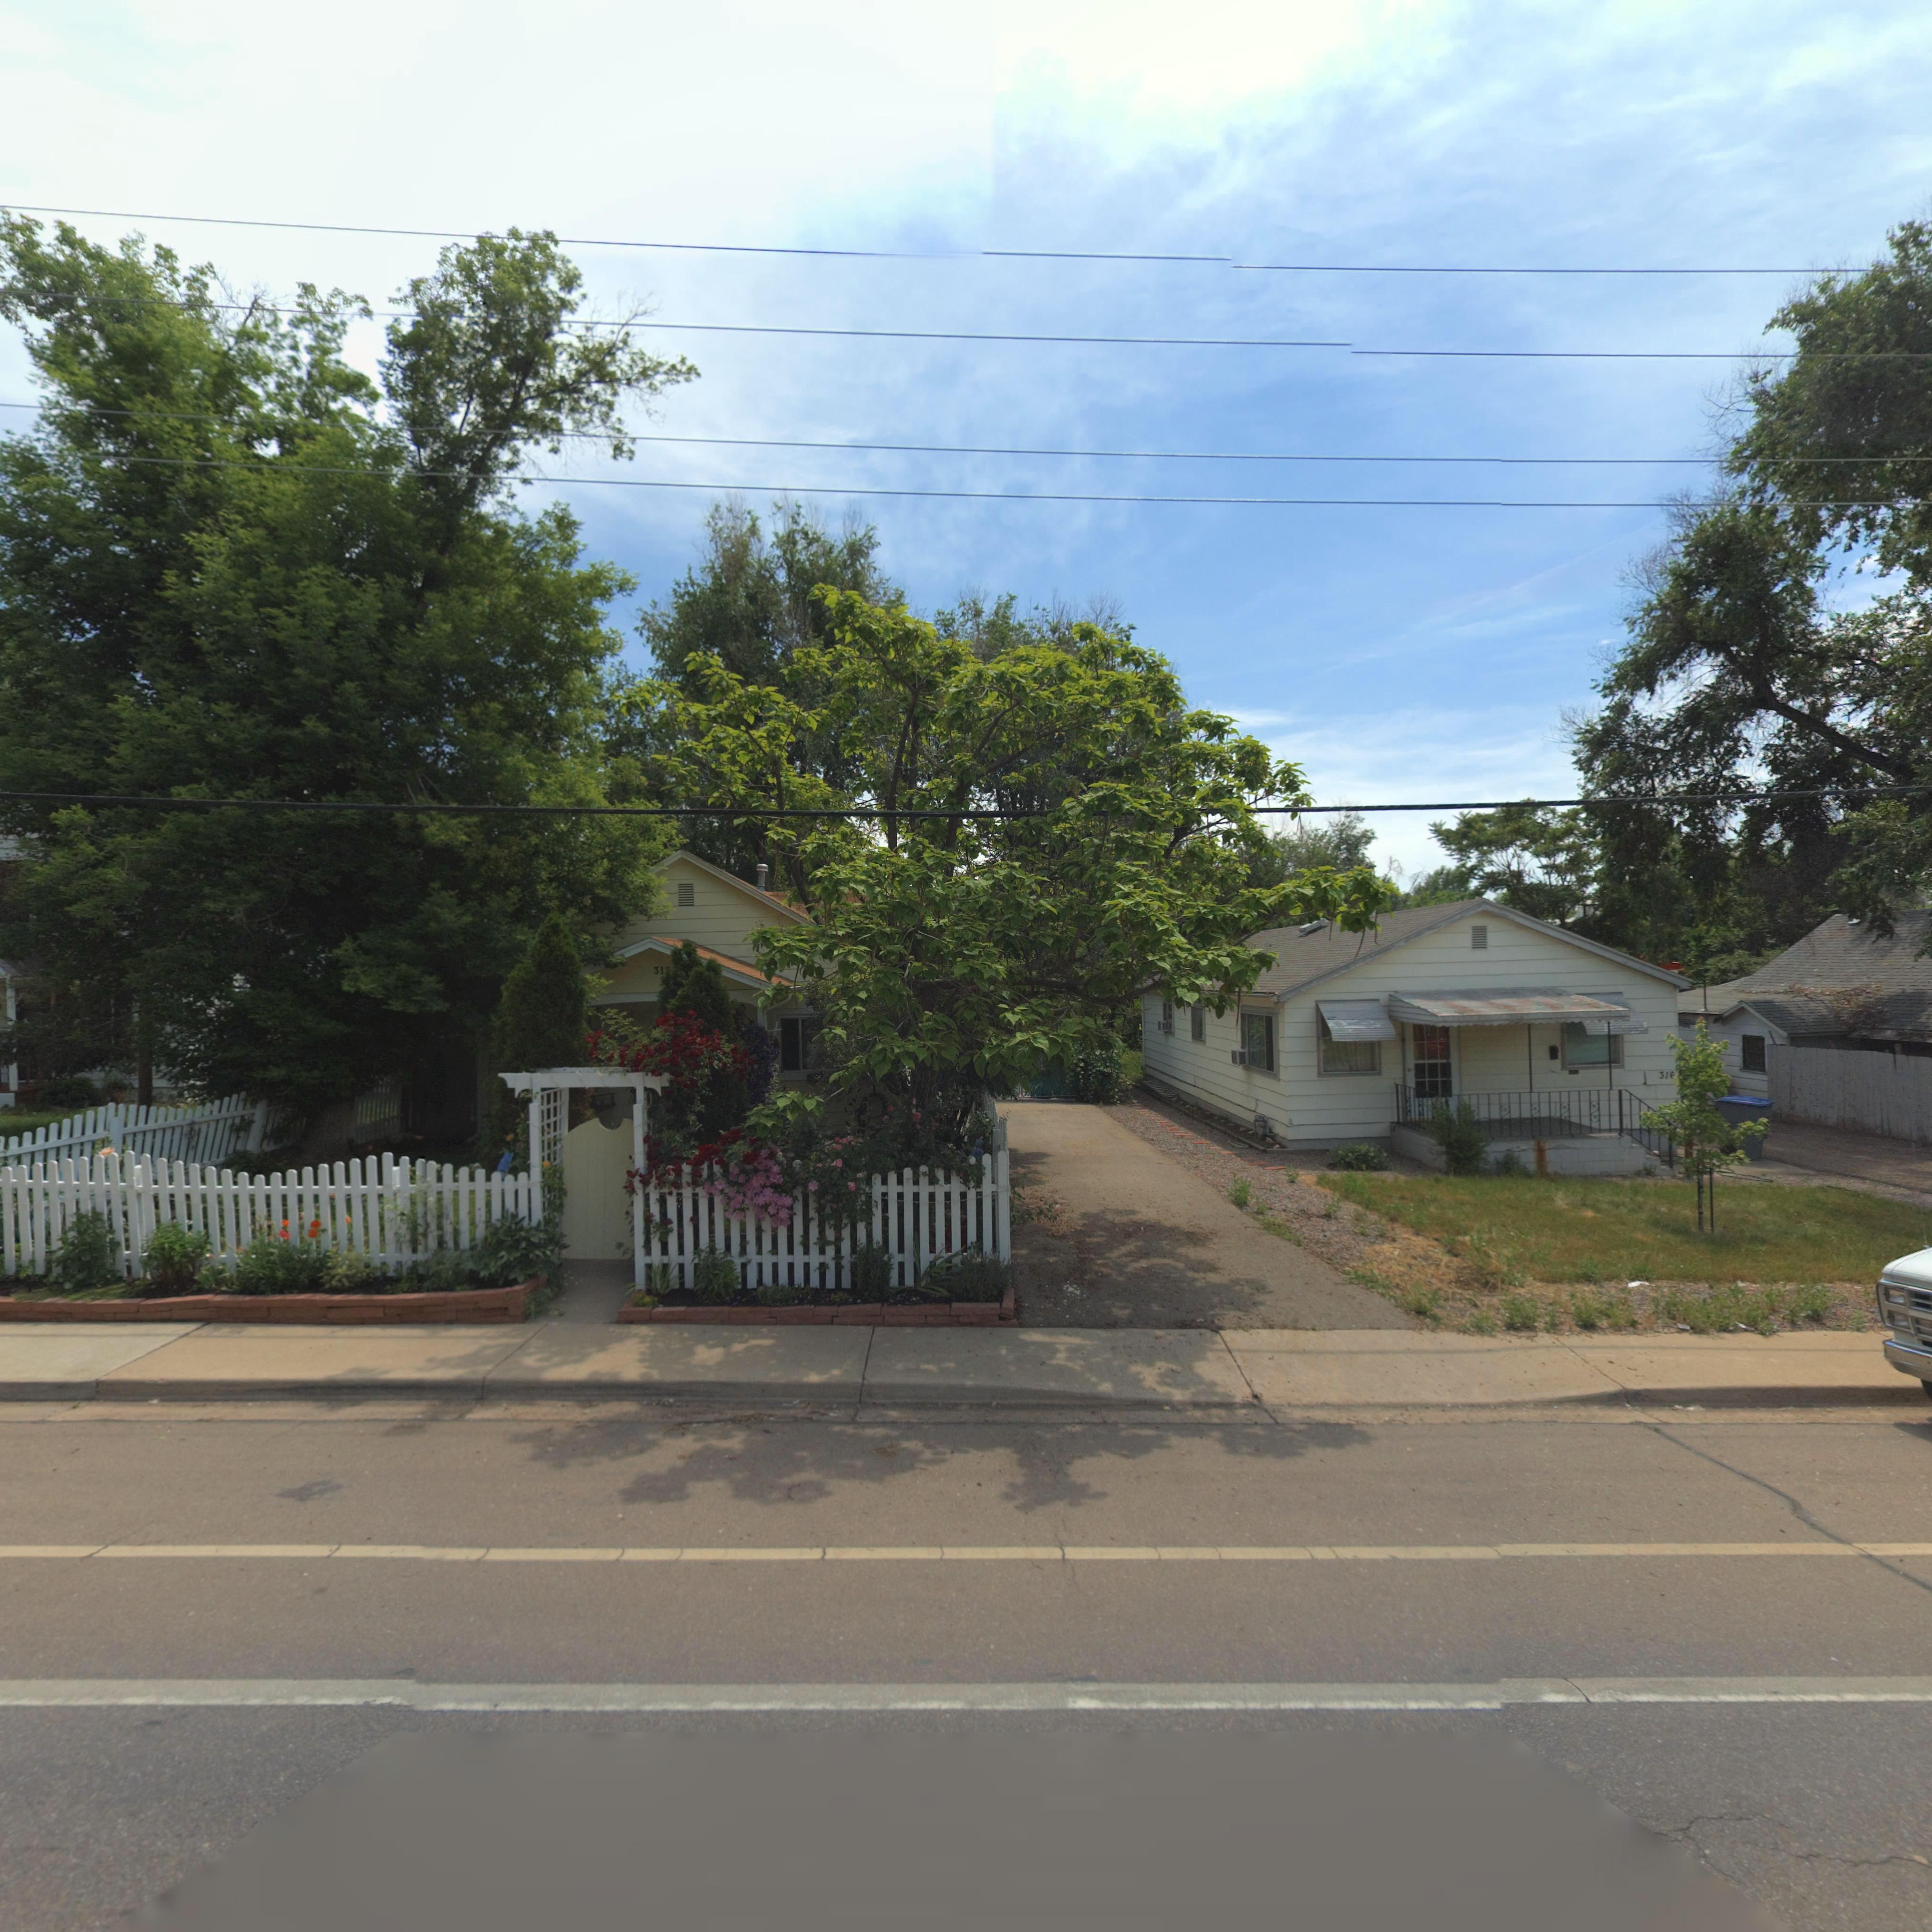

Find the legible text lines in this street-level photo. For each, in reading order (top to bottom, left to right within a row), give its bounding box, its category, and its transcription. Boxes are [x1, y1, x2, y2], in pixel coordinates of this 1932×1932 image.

[653, 965, 670, 975] StreetNumber: 31*
[1659, 1071, 1676, 1080] StreetNumber: 316